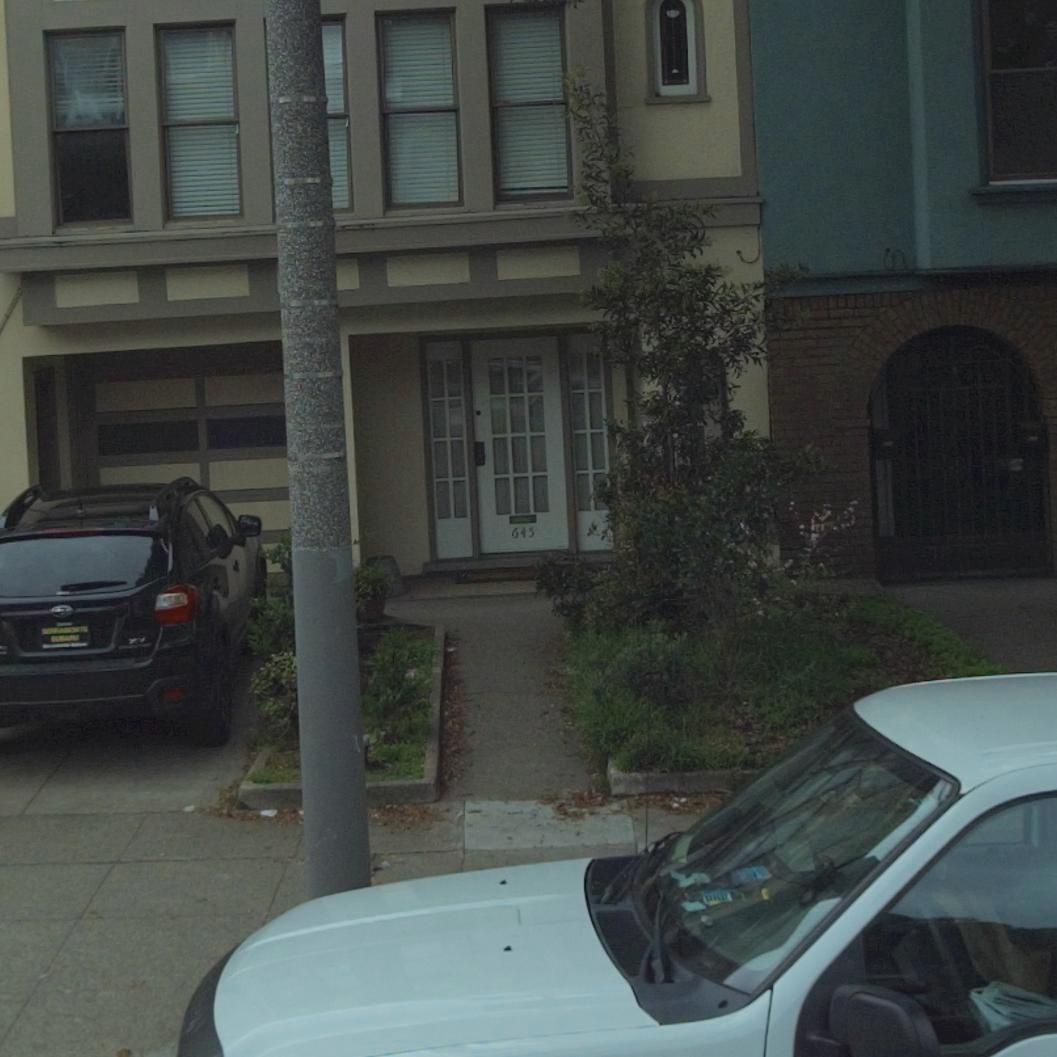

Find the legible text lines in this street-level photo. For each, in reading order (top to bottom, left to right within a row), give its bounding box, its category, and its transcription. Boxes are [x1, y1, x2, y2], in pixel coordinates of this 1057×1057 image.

[510, 526, 537, 540] StreetNumber: 645